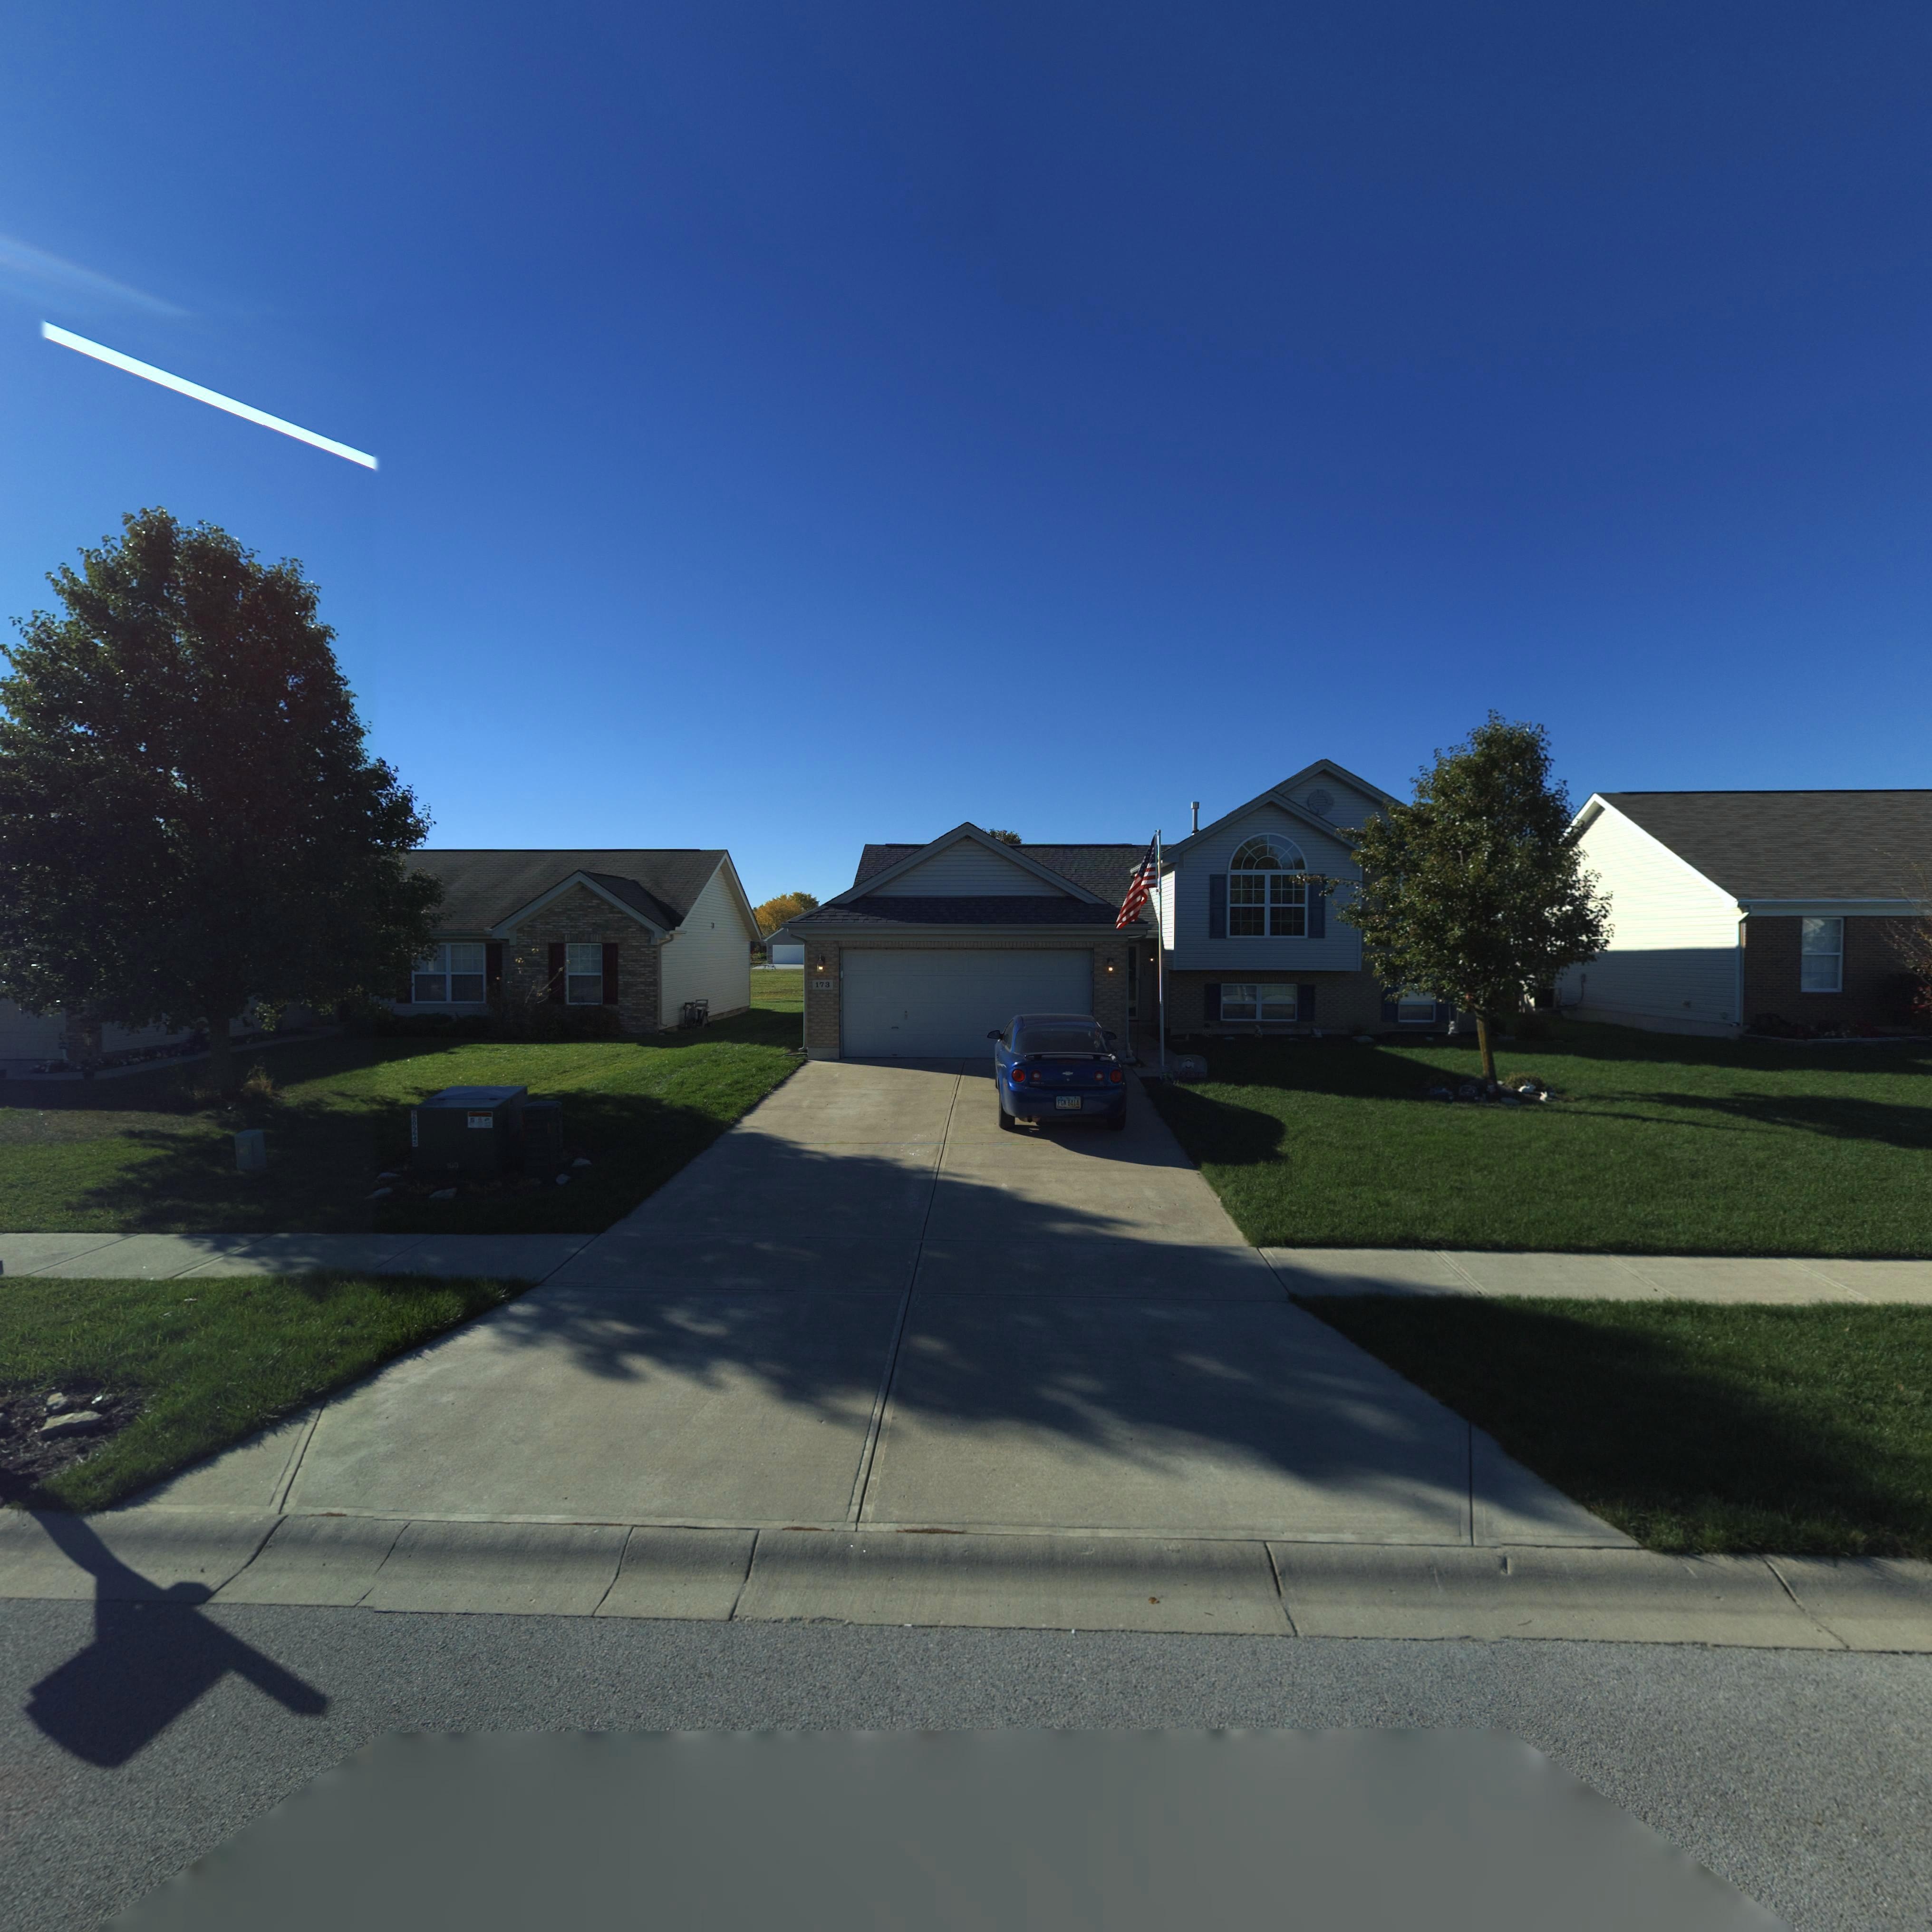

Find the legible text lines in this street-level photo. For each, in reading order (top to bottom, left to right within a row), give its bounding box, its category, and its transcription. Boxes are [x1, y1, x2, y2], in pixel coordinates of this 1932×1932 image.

[815, 981, 831, 988] StreetNumber: 173